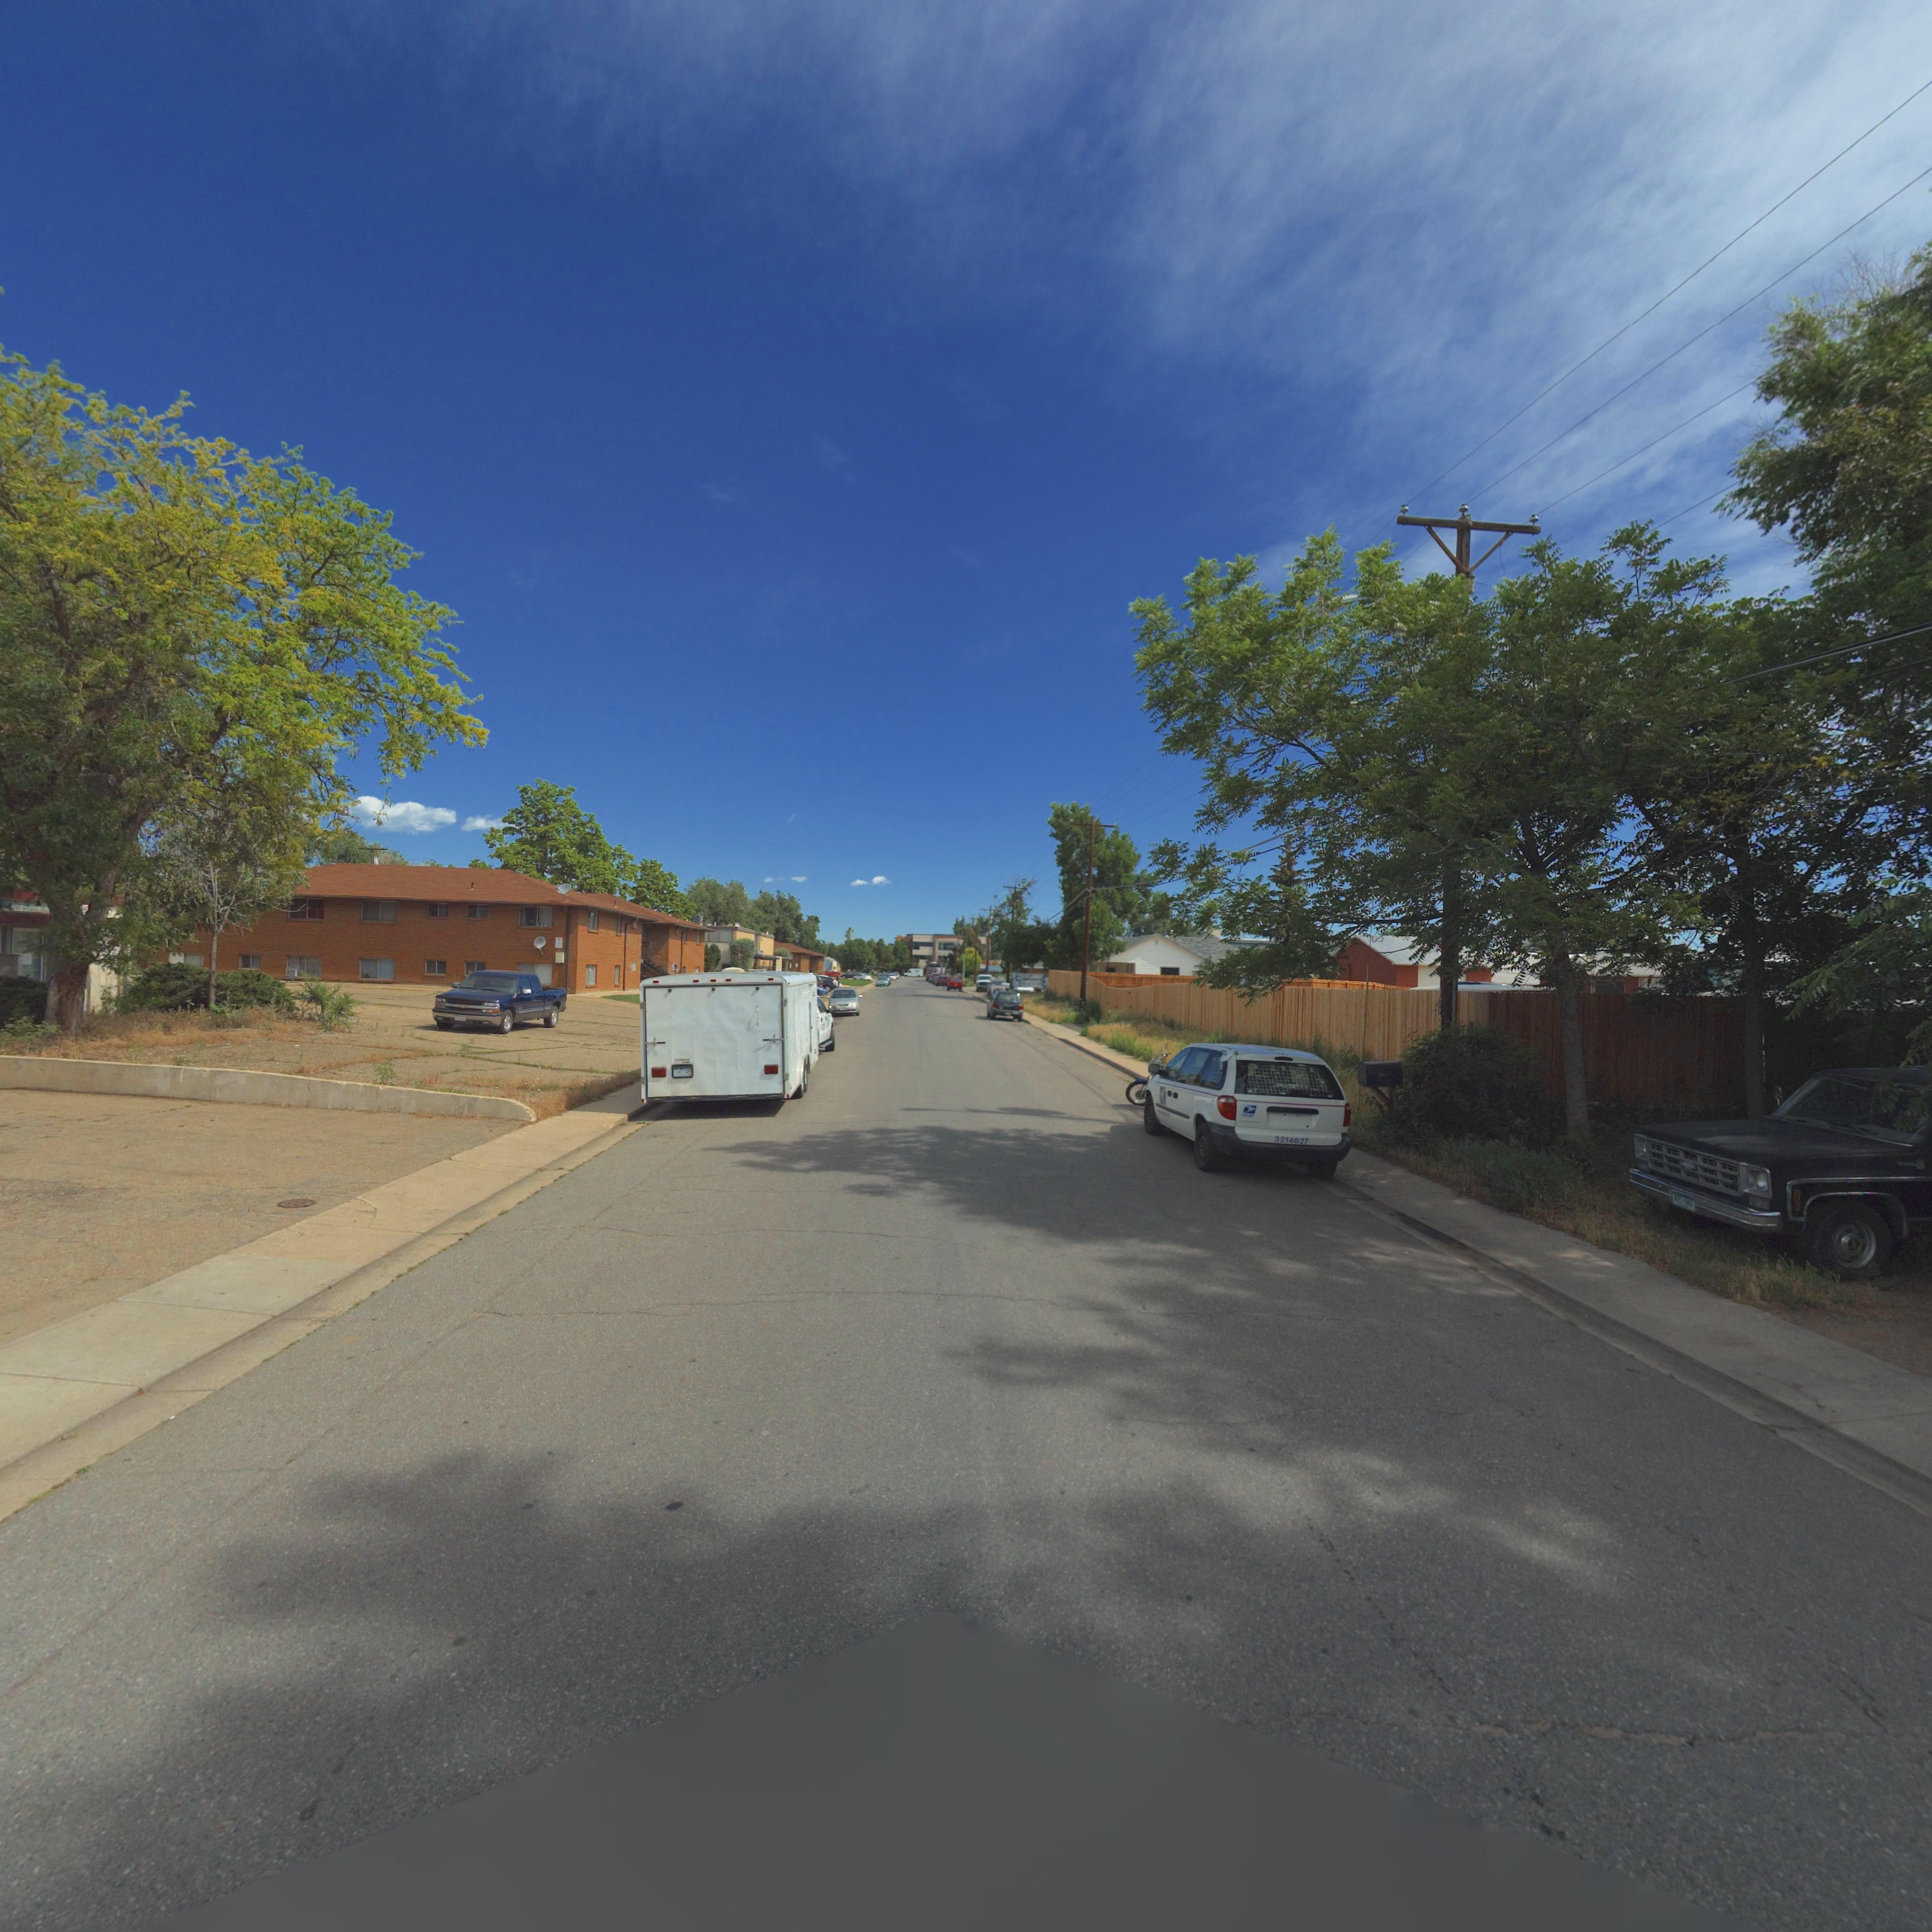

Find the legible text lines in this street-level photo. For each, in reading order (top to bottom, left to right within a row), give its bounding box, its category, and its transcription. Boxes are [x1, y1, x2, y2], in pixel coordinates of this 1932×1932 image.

[1015, 976, 1042, 982] BusinessName: C*******
[1378, 1072, 1385, 1076] StreetNumber: 1***